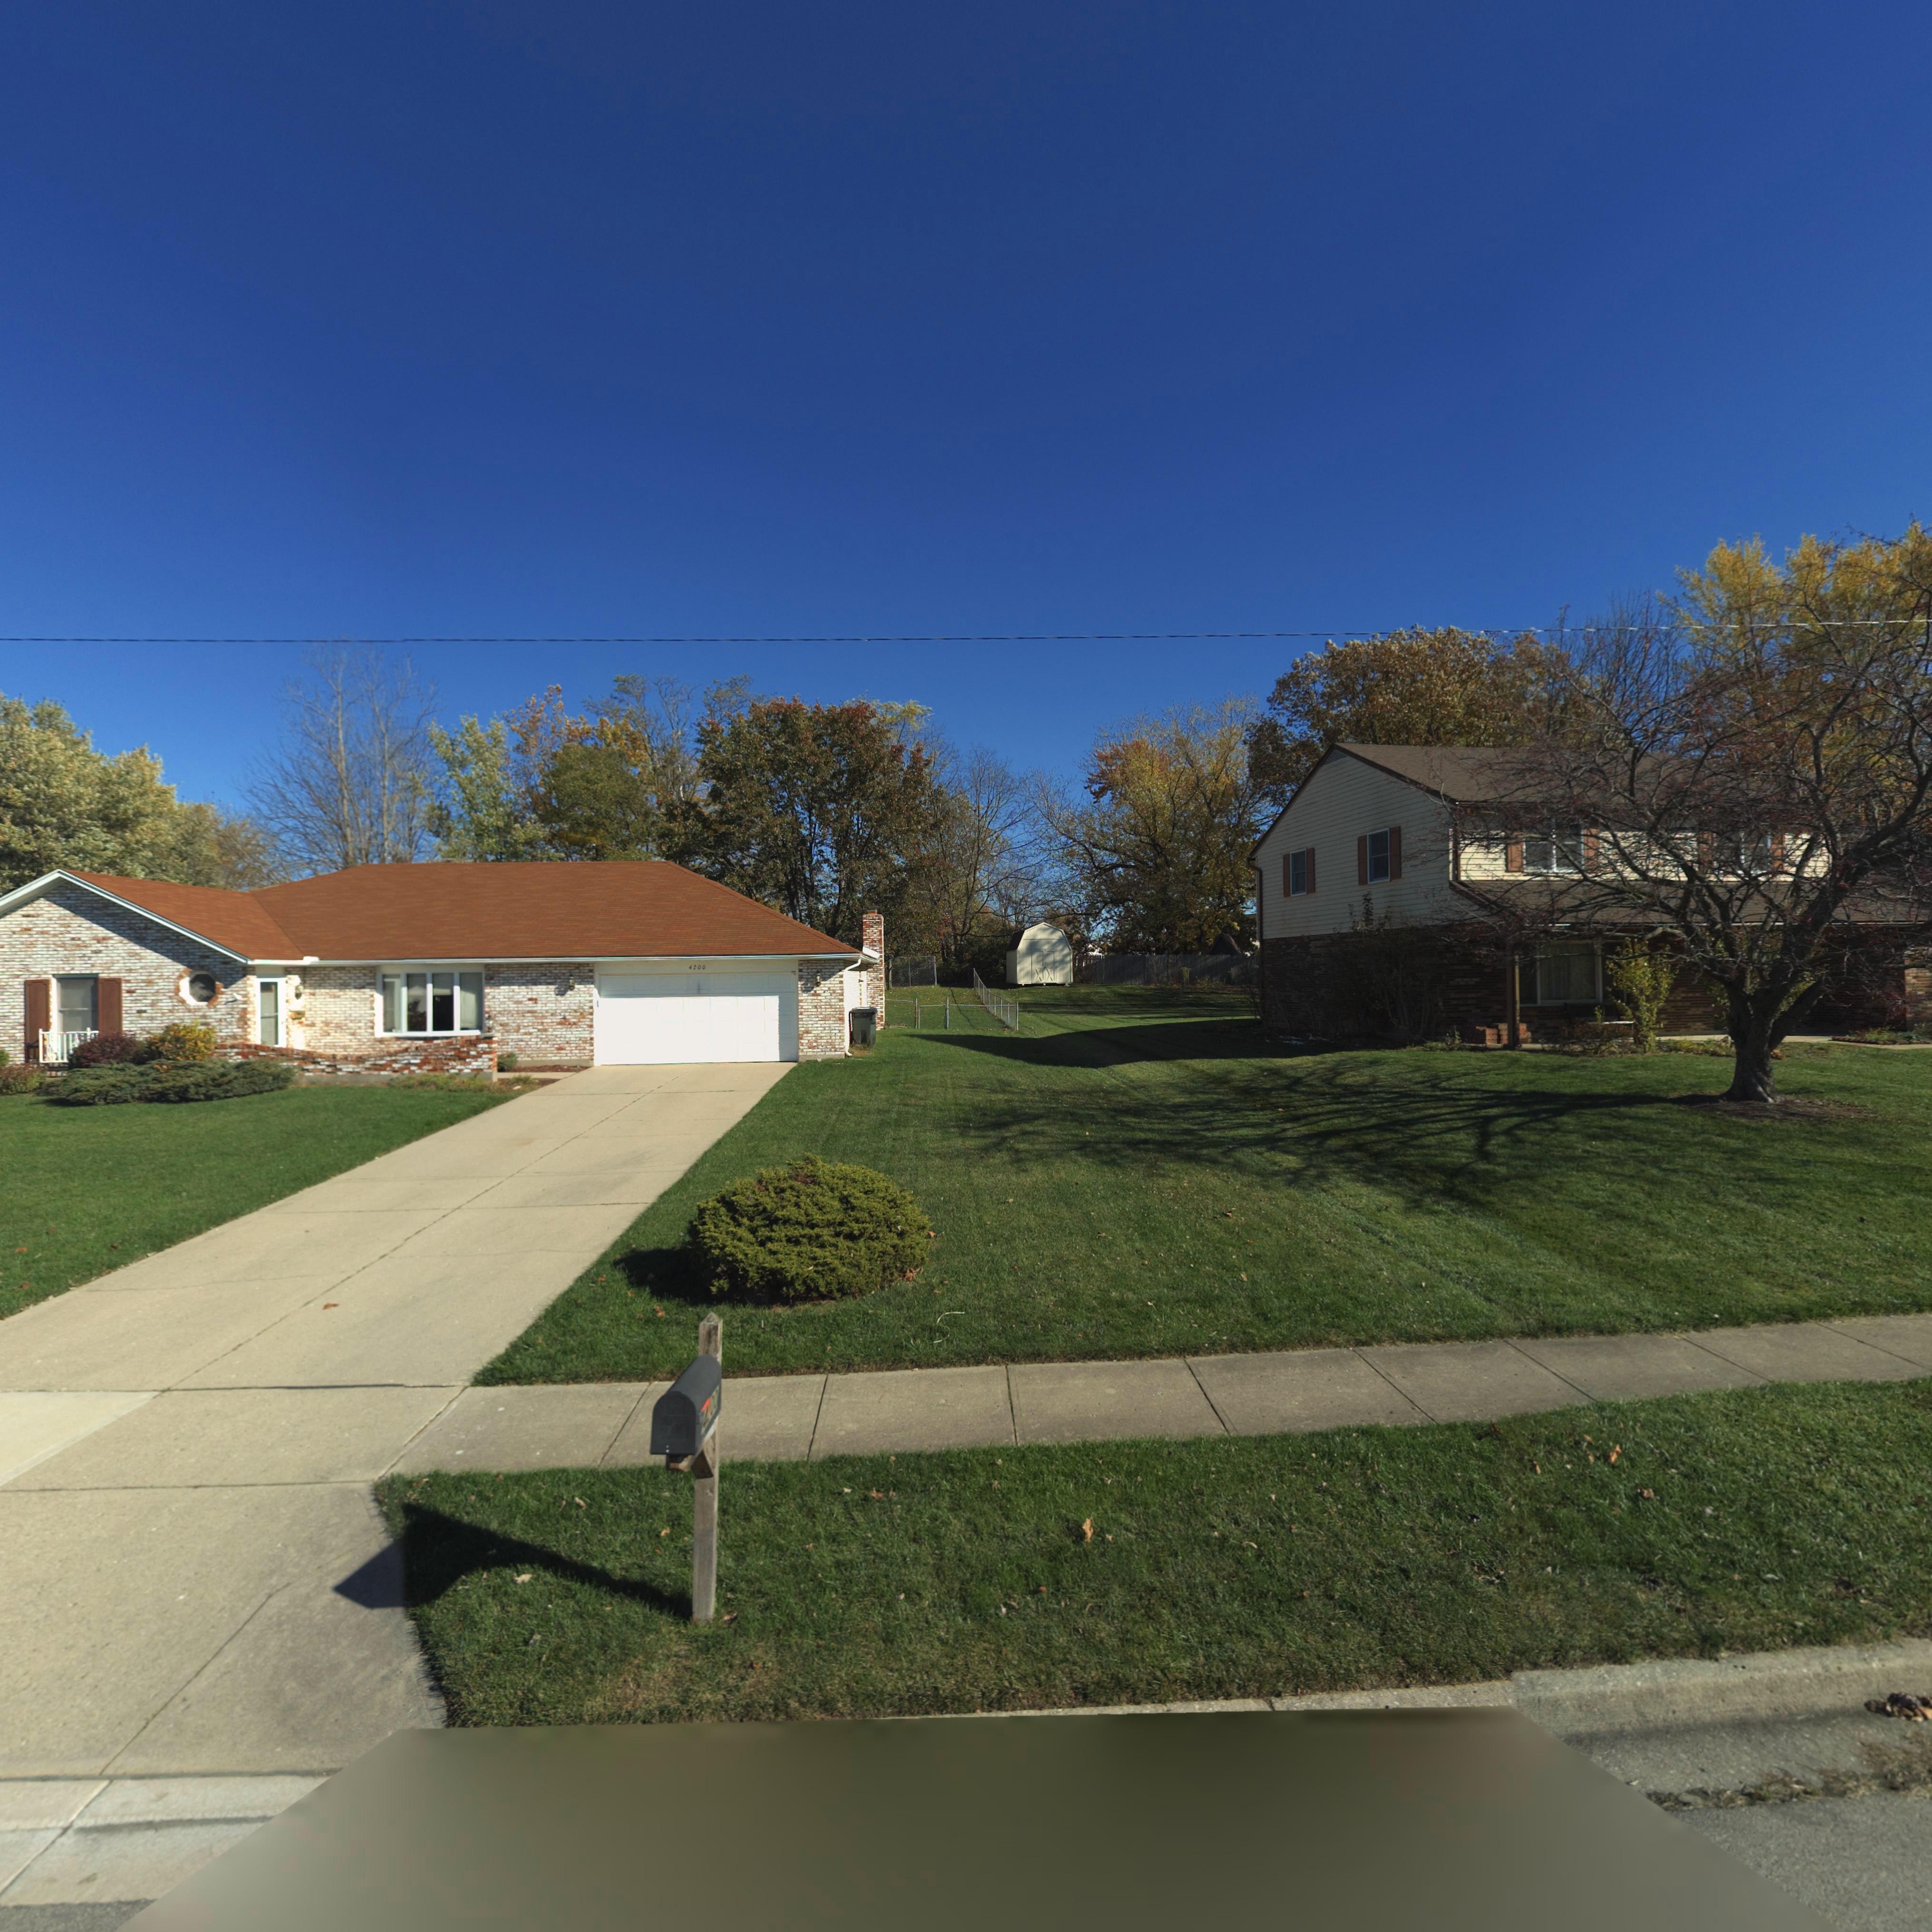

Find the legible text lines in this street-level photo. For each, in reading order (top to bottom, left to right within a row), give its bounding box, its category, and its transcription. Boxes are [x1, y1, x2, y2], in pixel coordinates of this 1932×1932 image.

[688, 965, 706, 970] StreetNumber: 4200
[709, 1387, 720, 1417] StreetNumber: 00